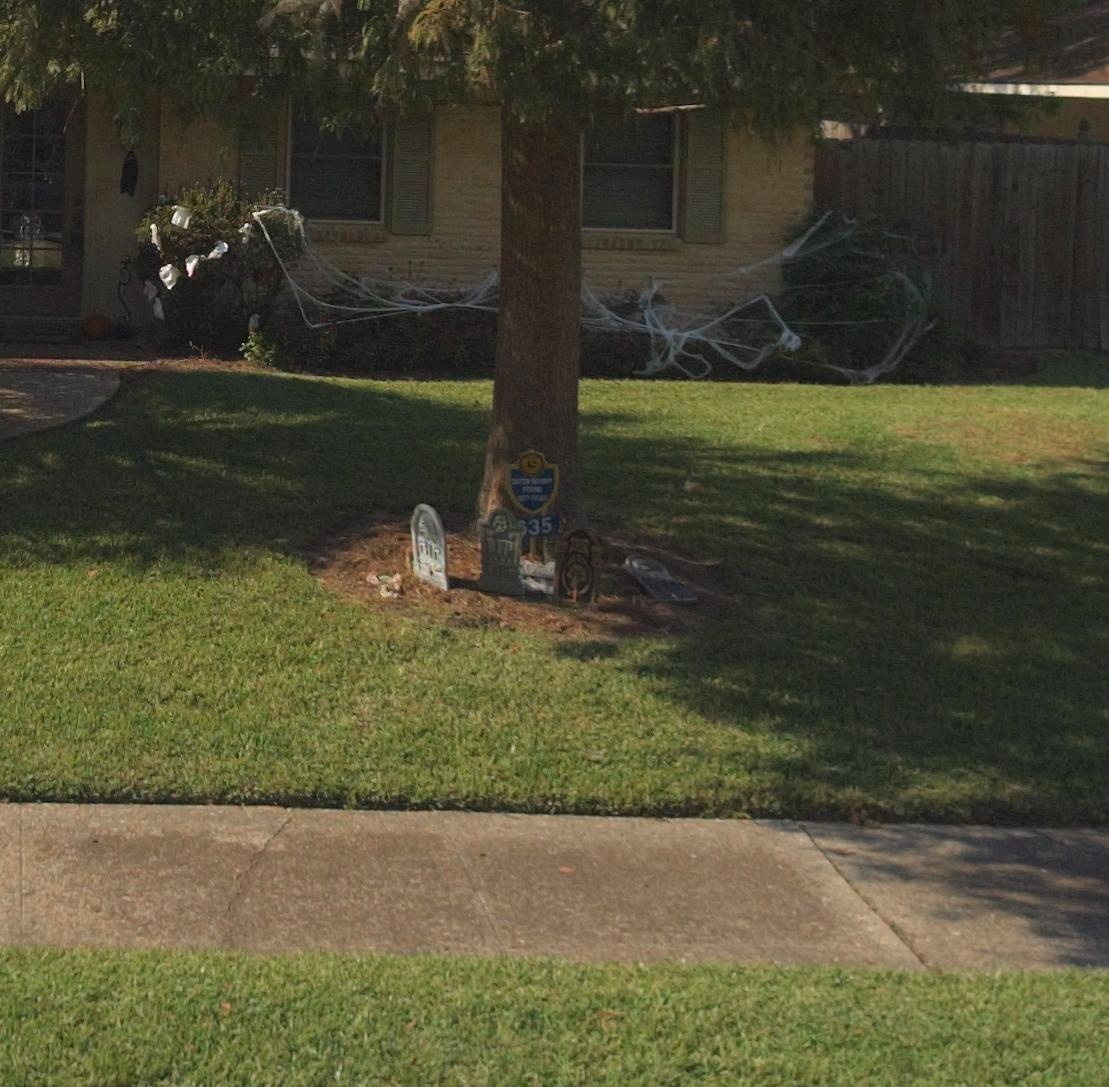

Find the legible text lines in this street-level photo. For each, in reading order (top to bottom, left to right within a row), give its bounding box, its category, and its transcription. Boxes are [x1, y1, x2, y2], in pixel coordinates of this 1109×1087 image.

[517, 515, 552, 537] StreetNumber: 635